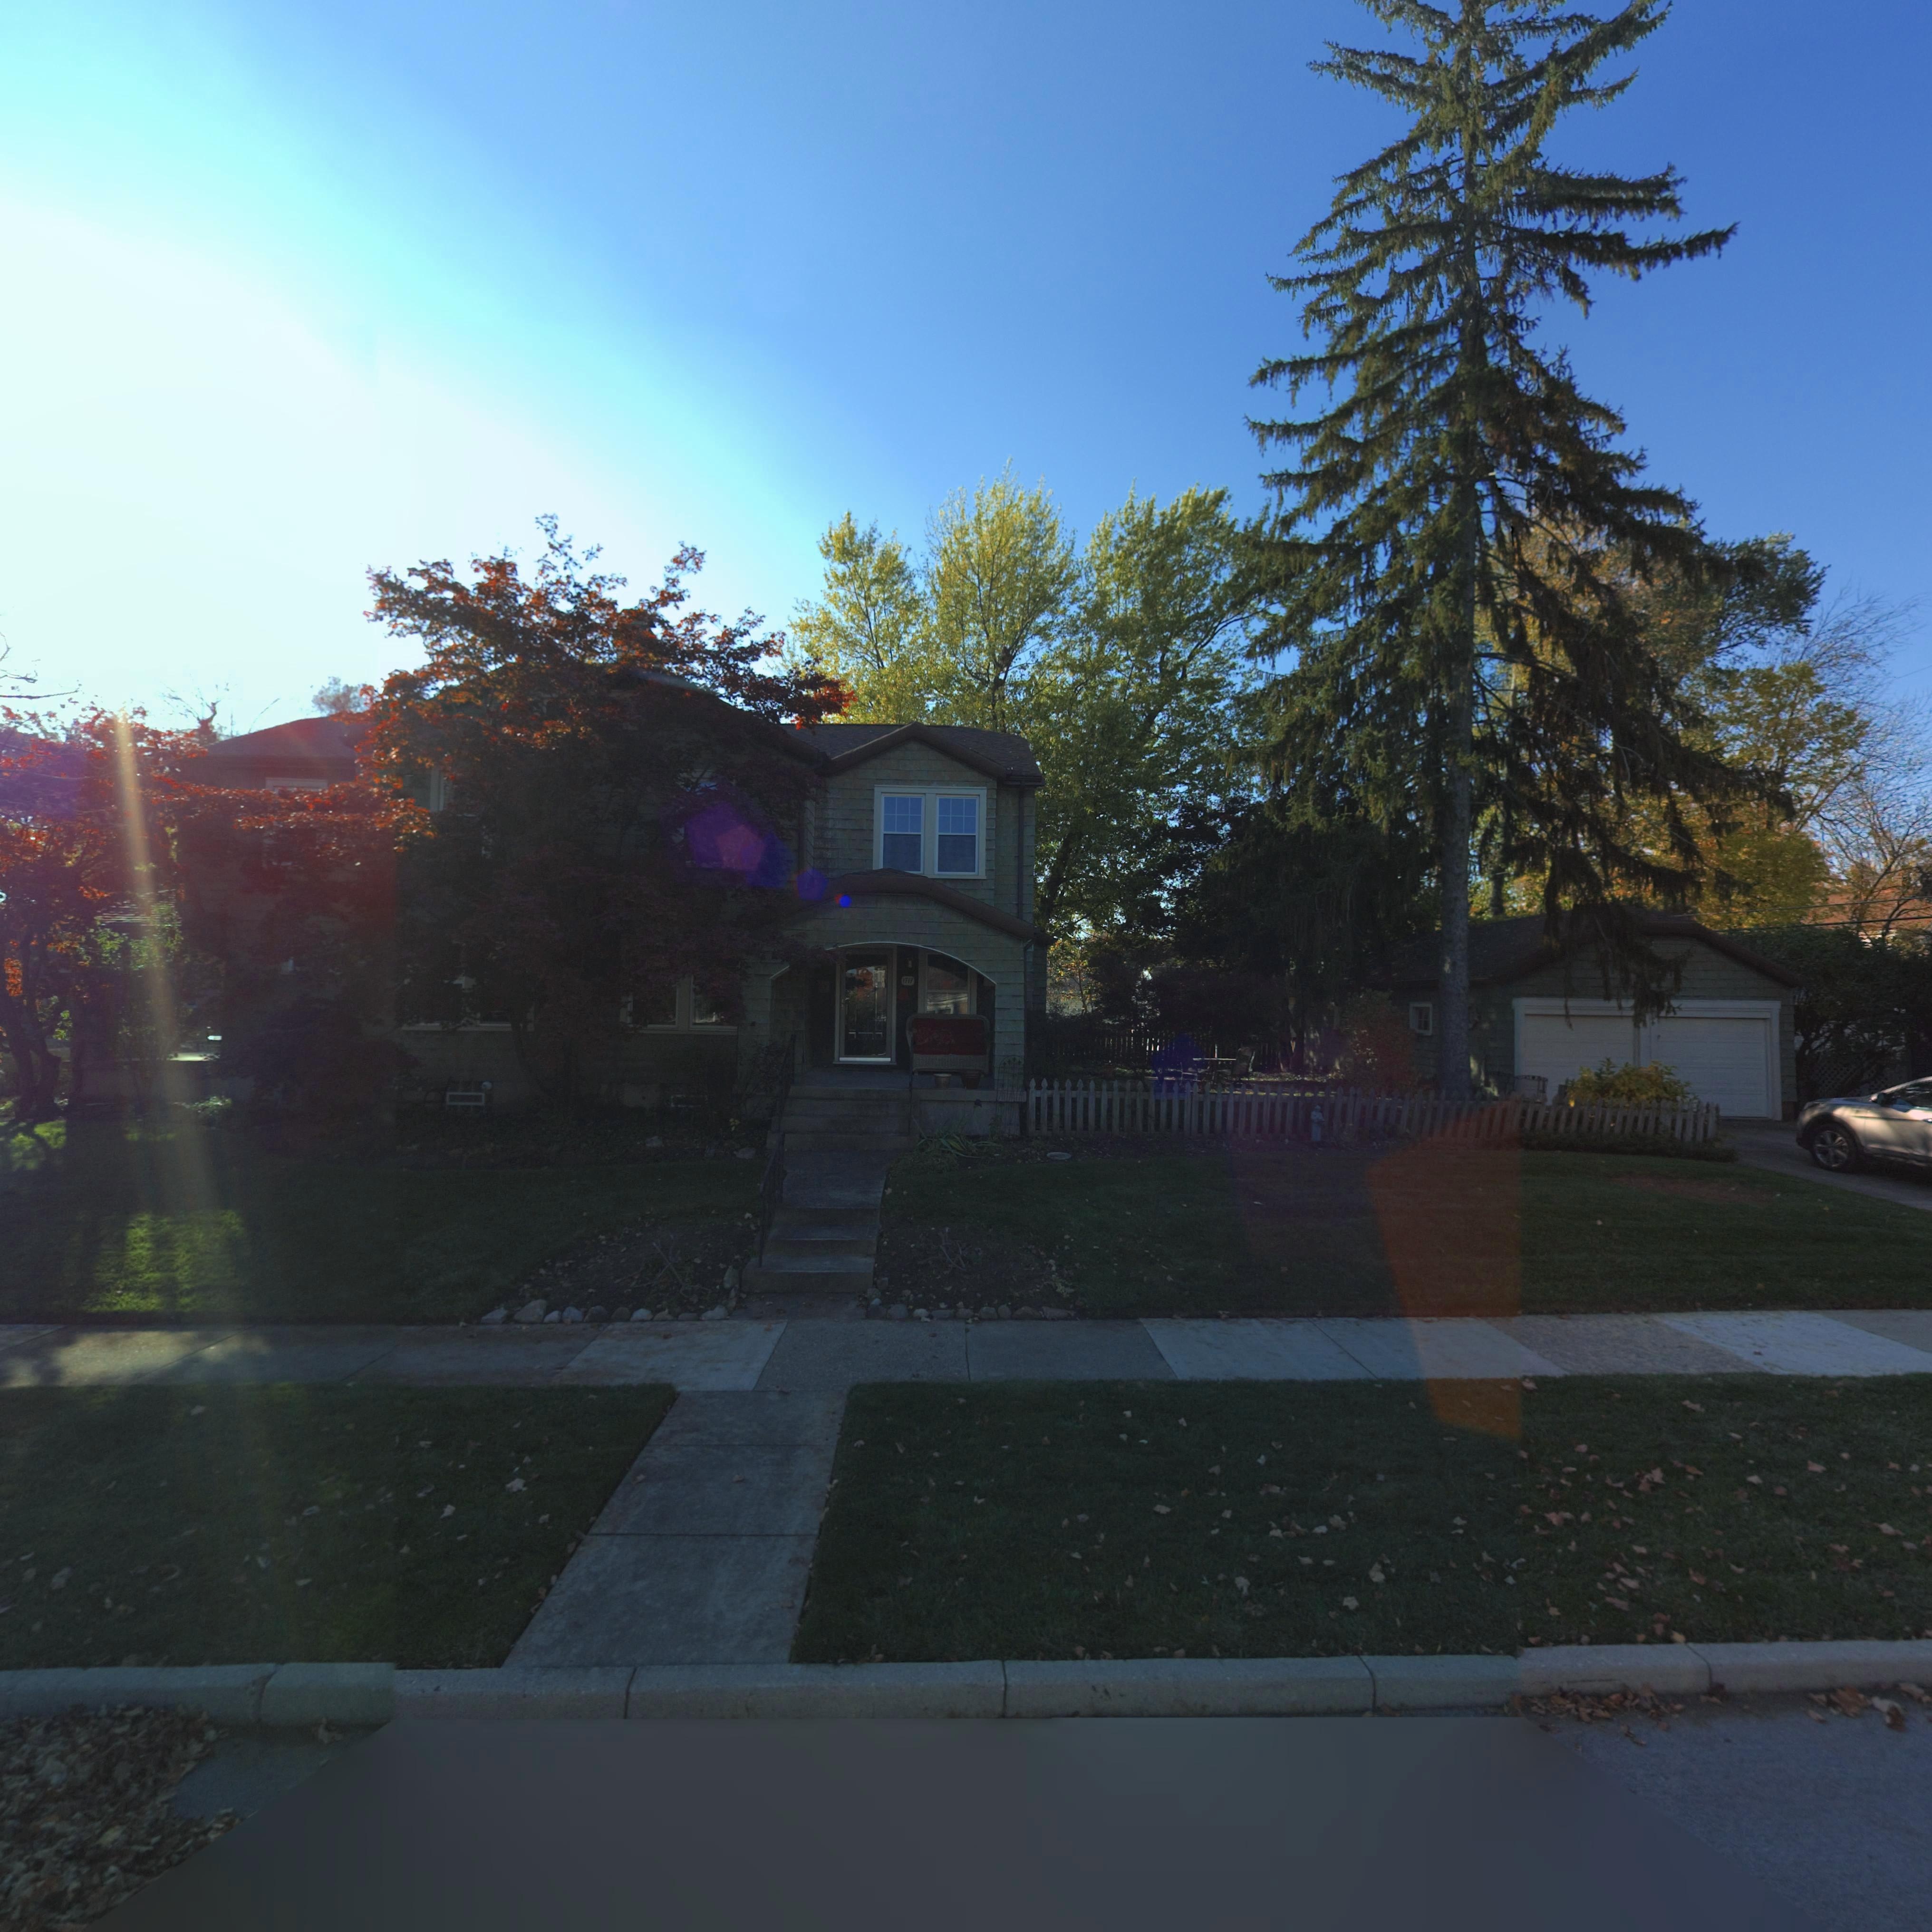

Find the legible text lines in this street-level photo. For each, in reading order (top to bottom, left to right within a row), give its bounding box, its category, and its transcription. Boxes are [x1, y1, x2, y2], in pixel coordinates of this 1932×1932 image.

[902, 976, 915, 985] StreetNumber: 1717